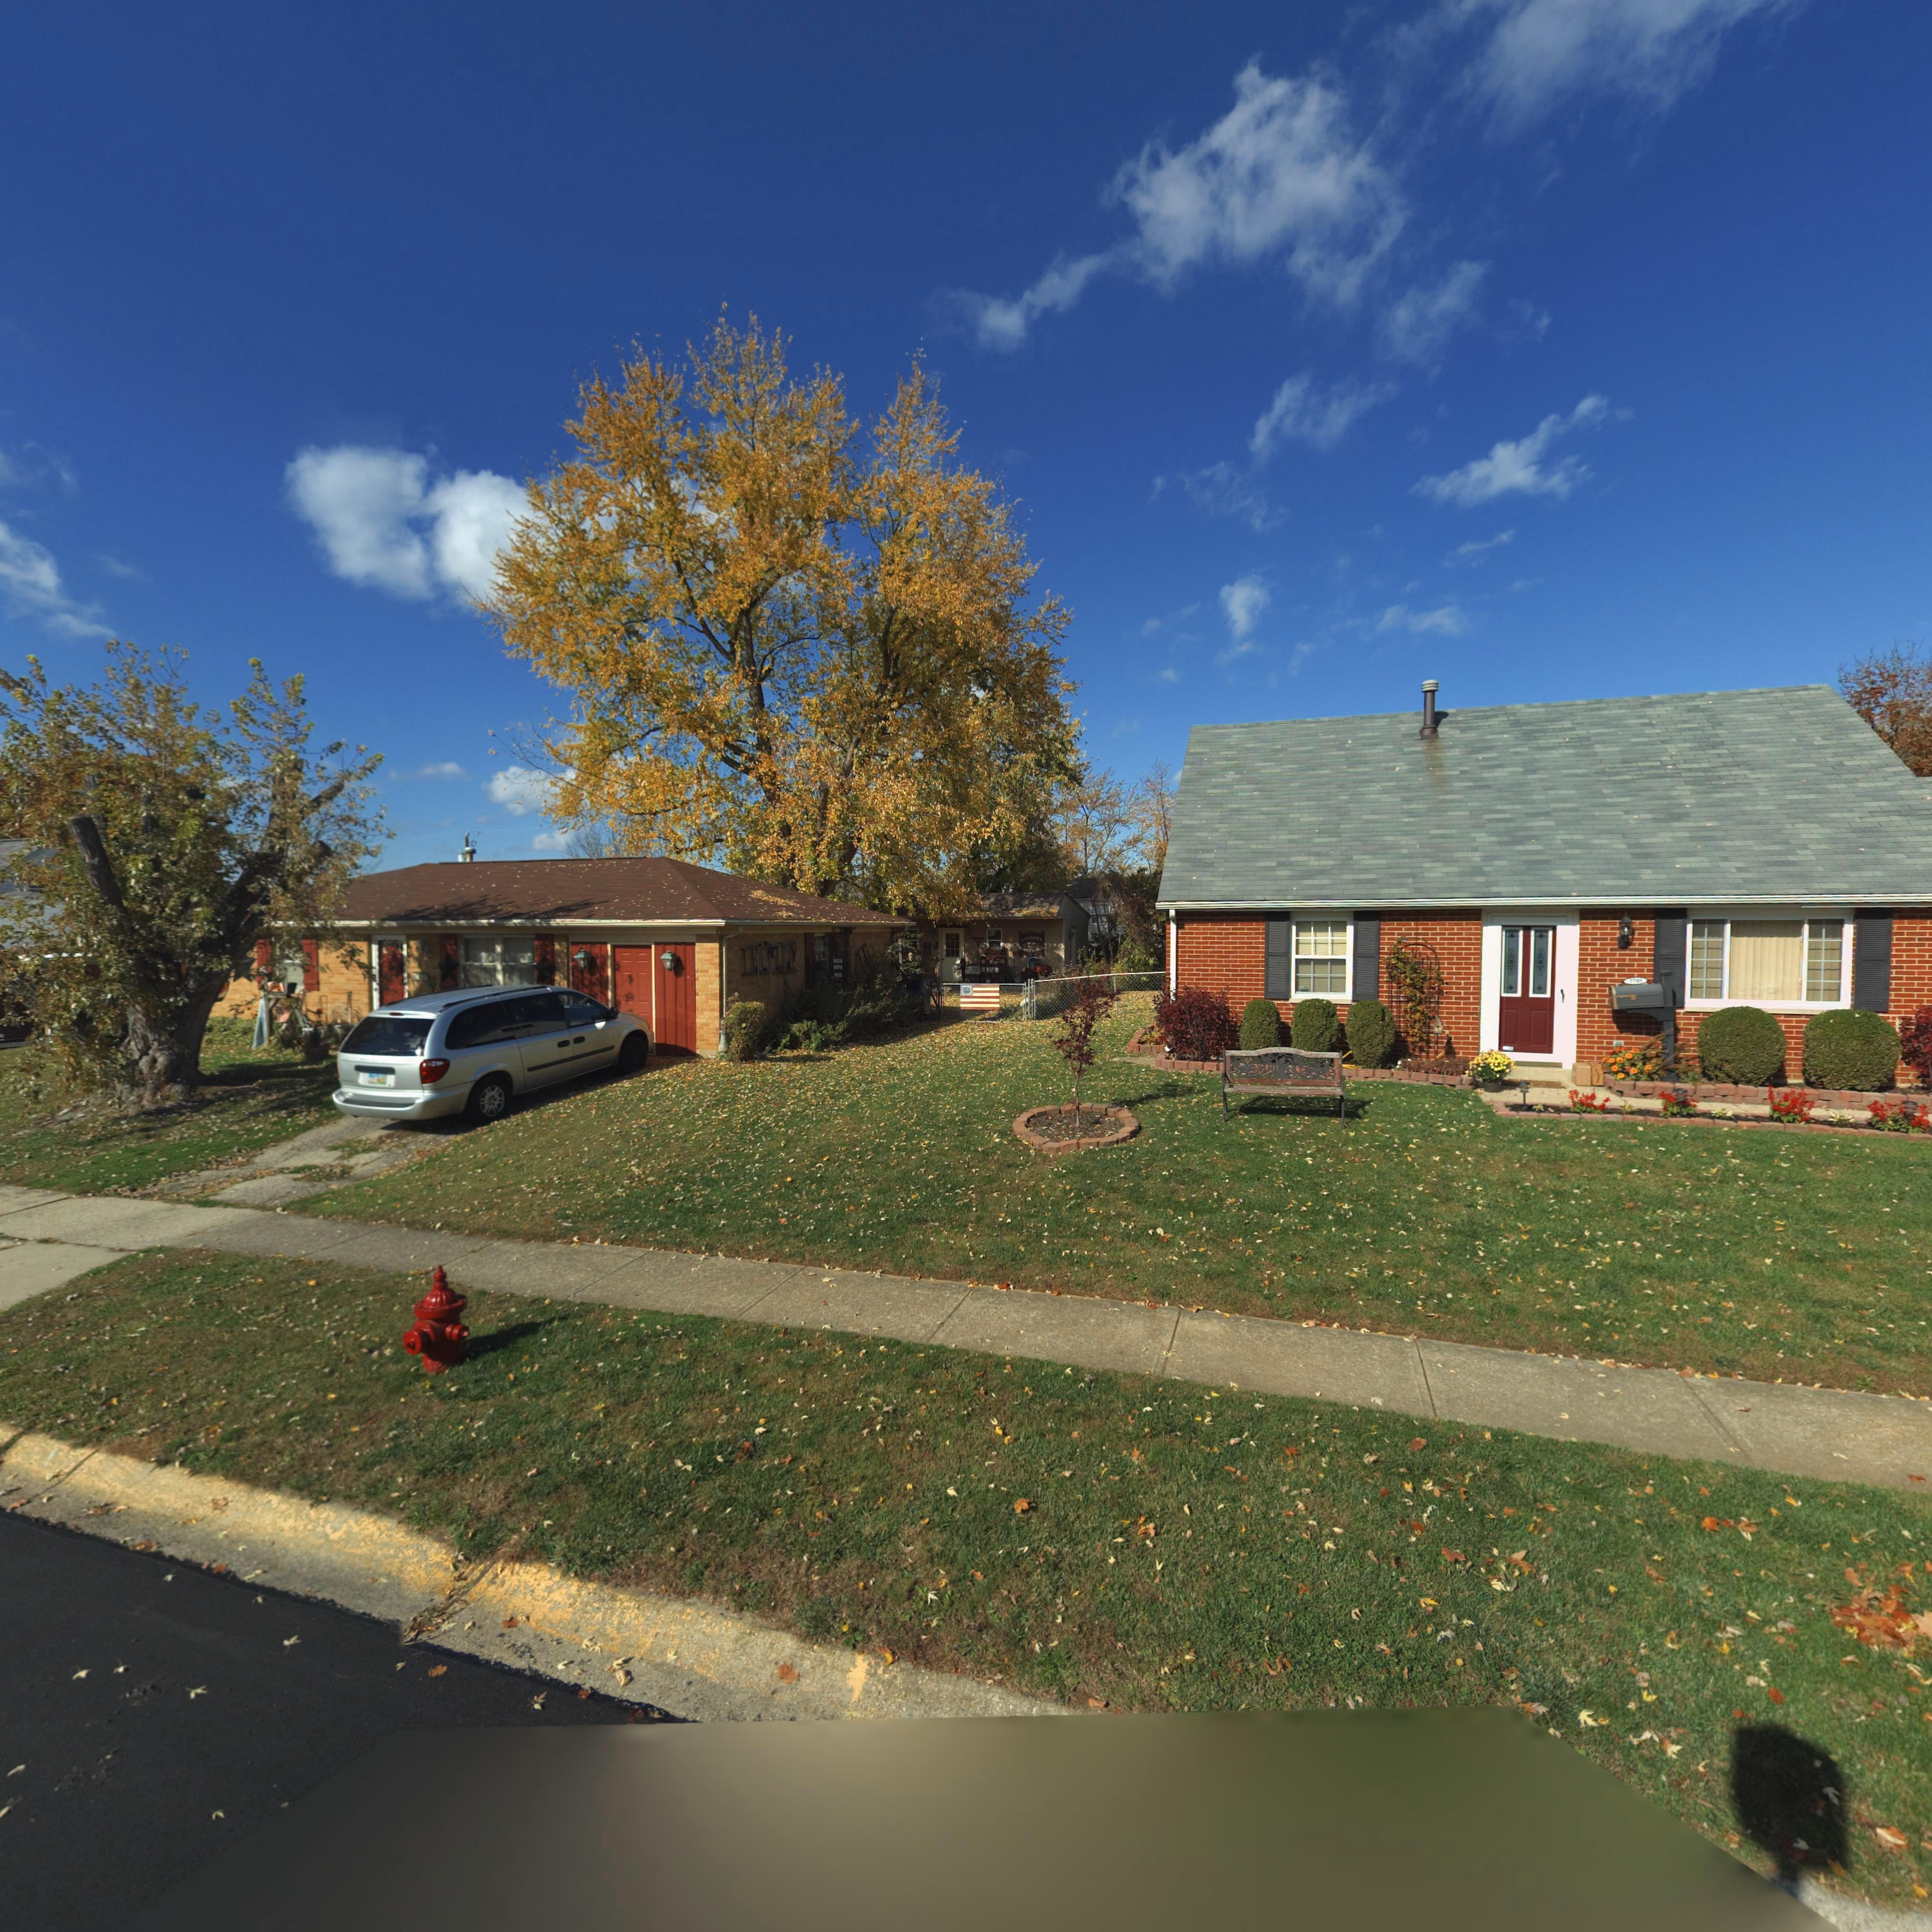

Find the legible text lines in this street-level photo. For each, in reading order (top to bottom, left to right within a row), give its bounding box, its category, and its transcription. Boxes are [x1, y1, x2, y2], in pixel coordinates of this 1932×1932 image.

[1629, 978, 1642, 983] StreetNumber: 7701